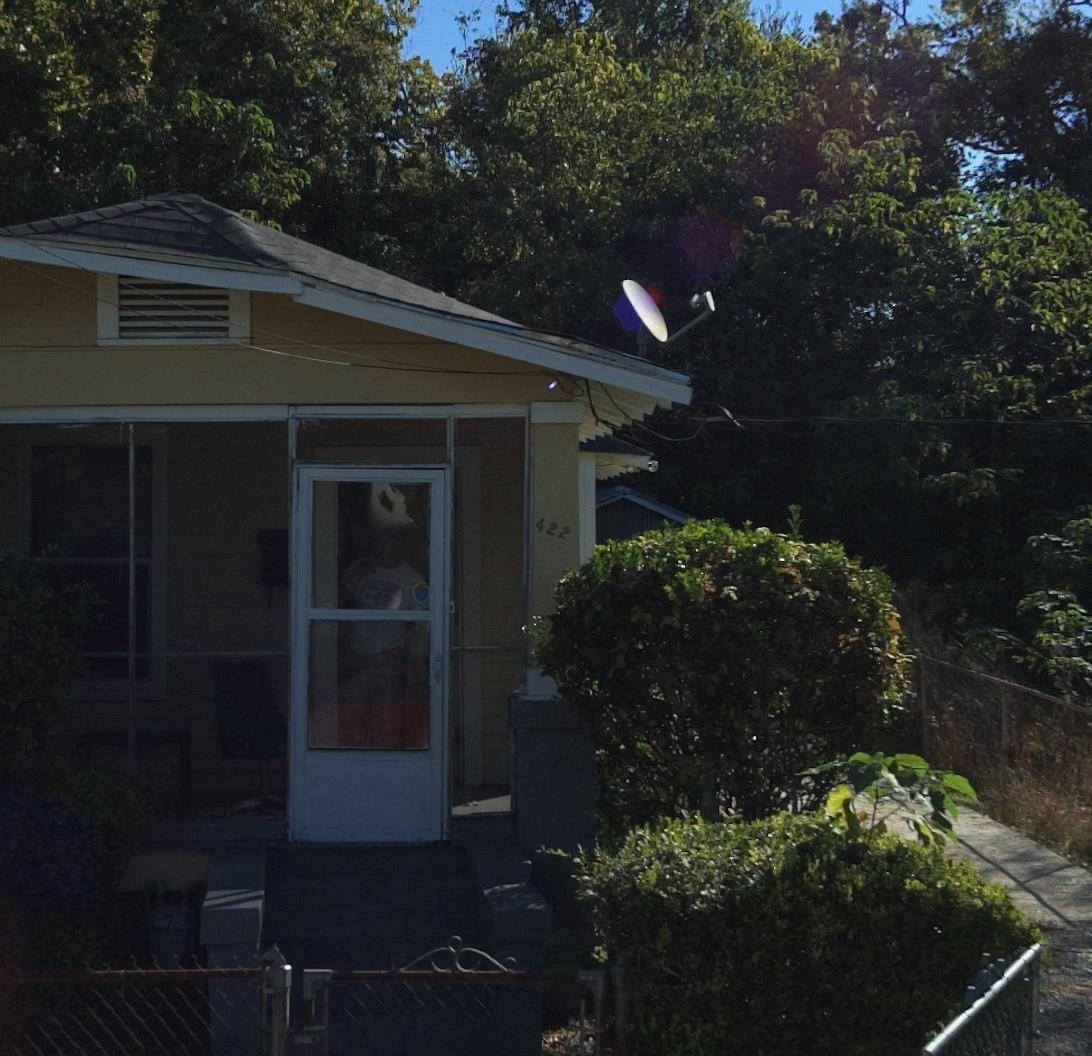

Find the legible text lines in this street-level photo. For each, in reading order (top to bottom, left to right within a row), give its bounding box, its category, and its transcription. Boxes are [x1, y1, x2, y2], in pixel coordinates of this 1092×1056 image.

[532, 514, 577, 544] StreetNumber: 422